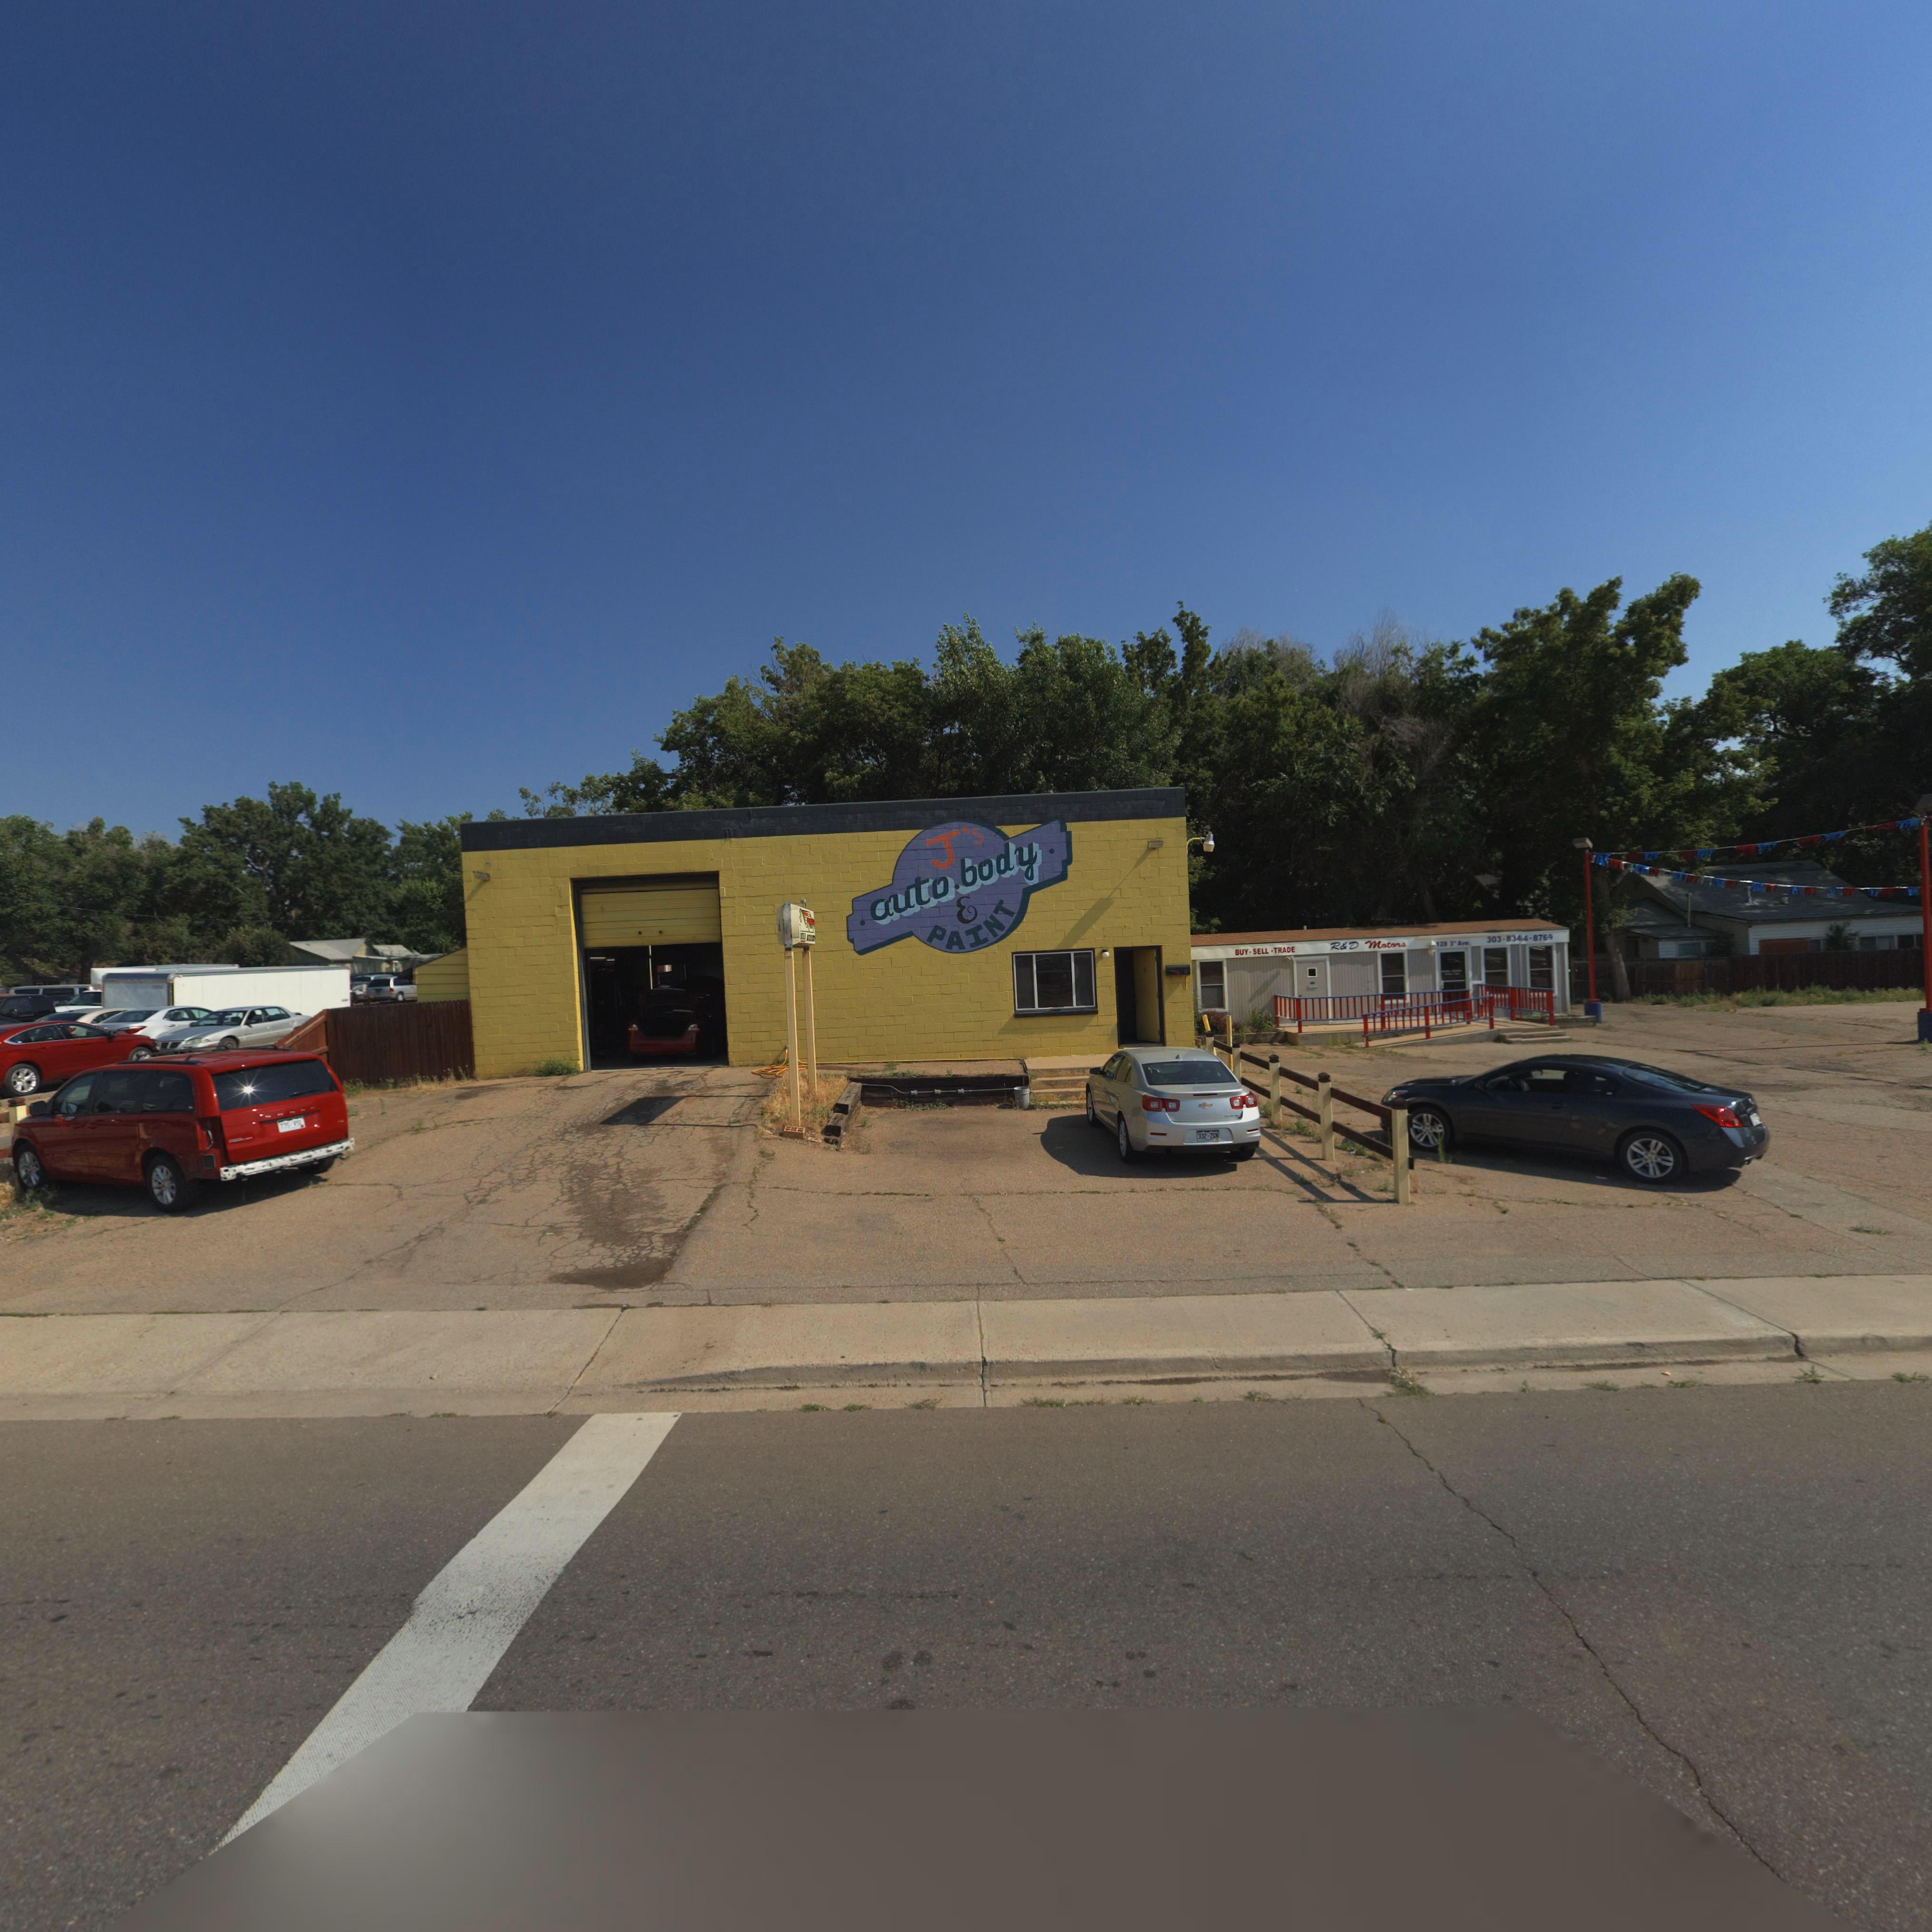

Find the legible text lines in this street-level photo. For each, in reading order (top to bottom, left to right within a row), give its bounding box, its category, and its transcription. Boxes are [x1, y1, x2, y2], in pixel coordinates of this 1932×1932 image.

[923, 825, 985, 869] BusinessName: J's
[869, 840, 1044, 926] BusinessName: auto*body
[925, 897, 1016, 950] BusinessName: PAINT
[1330, 940, 1359, 951] BusinessName: R*D
[1364, 939, 1408, 949] BusinessName: Motors
[1436, 940, 1447, 947] StreetNumber: 128
[1449, 939, 1469, 947] StreetName: 3* Ave